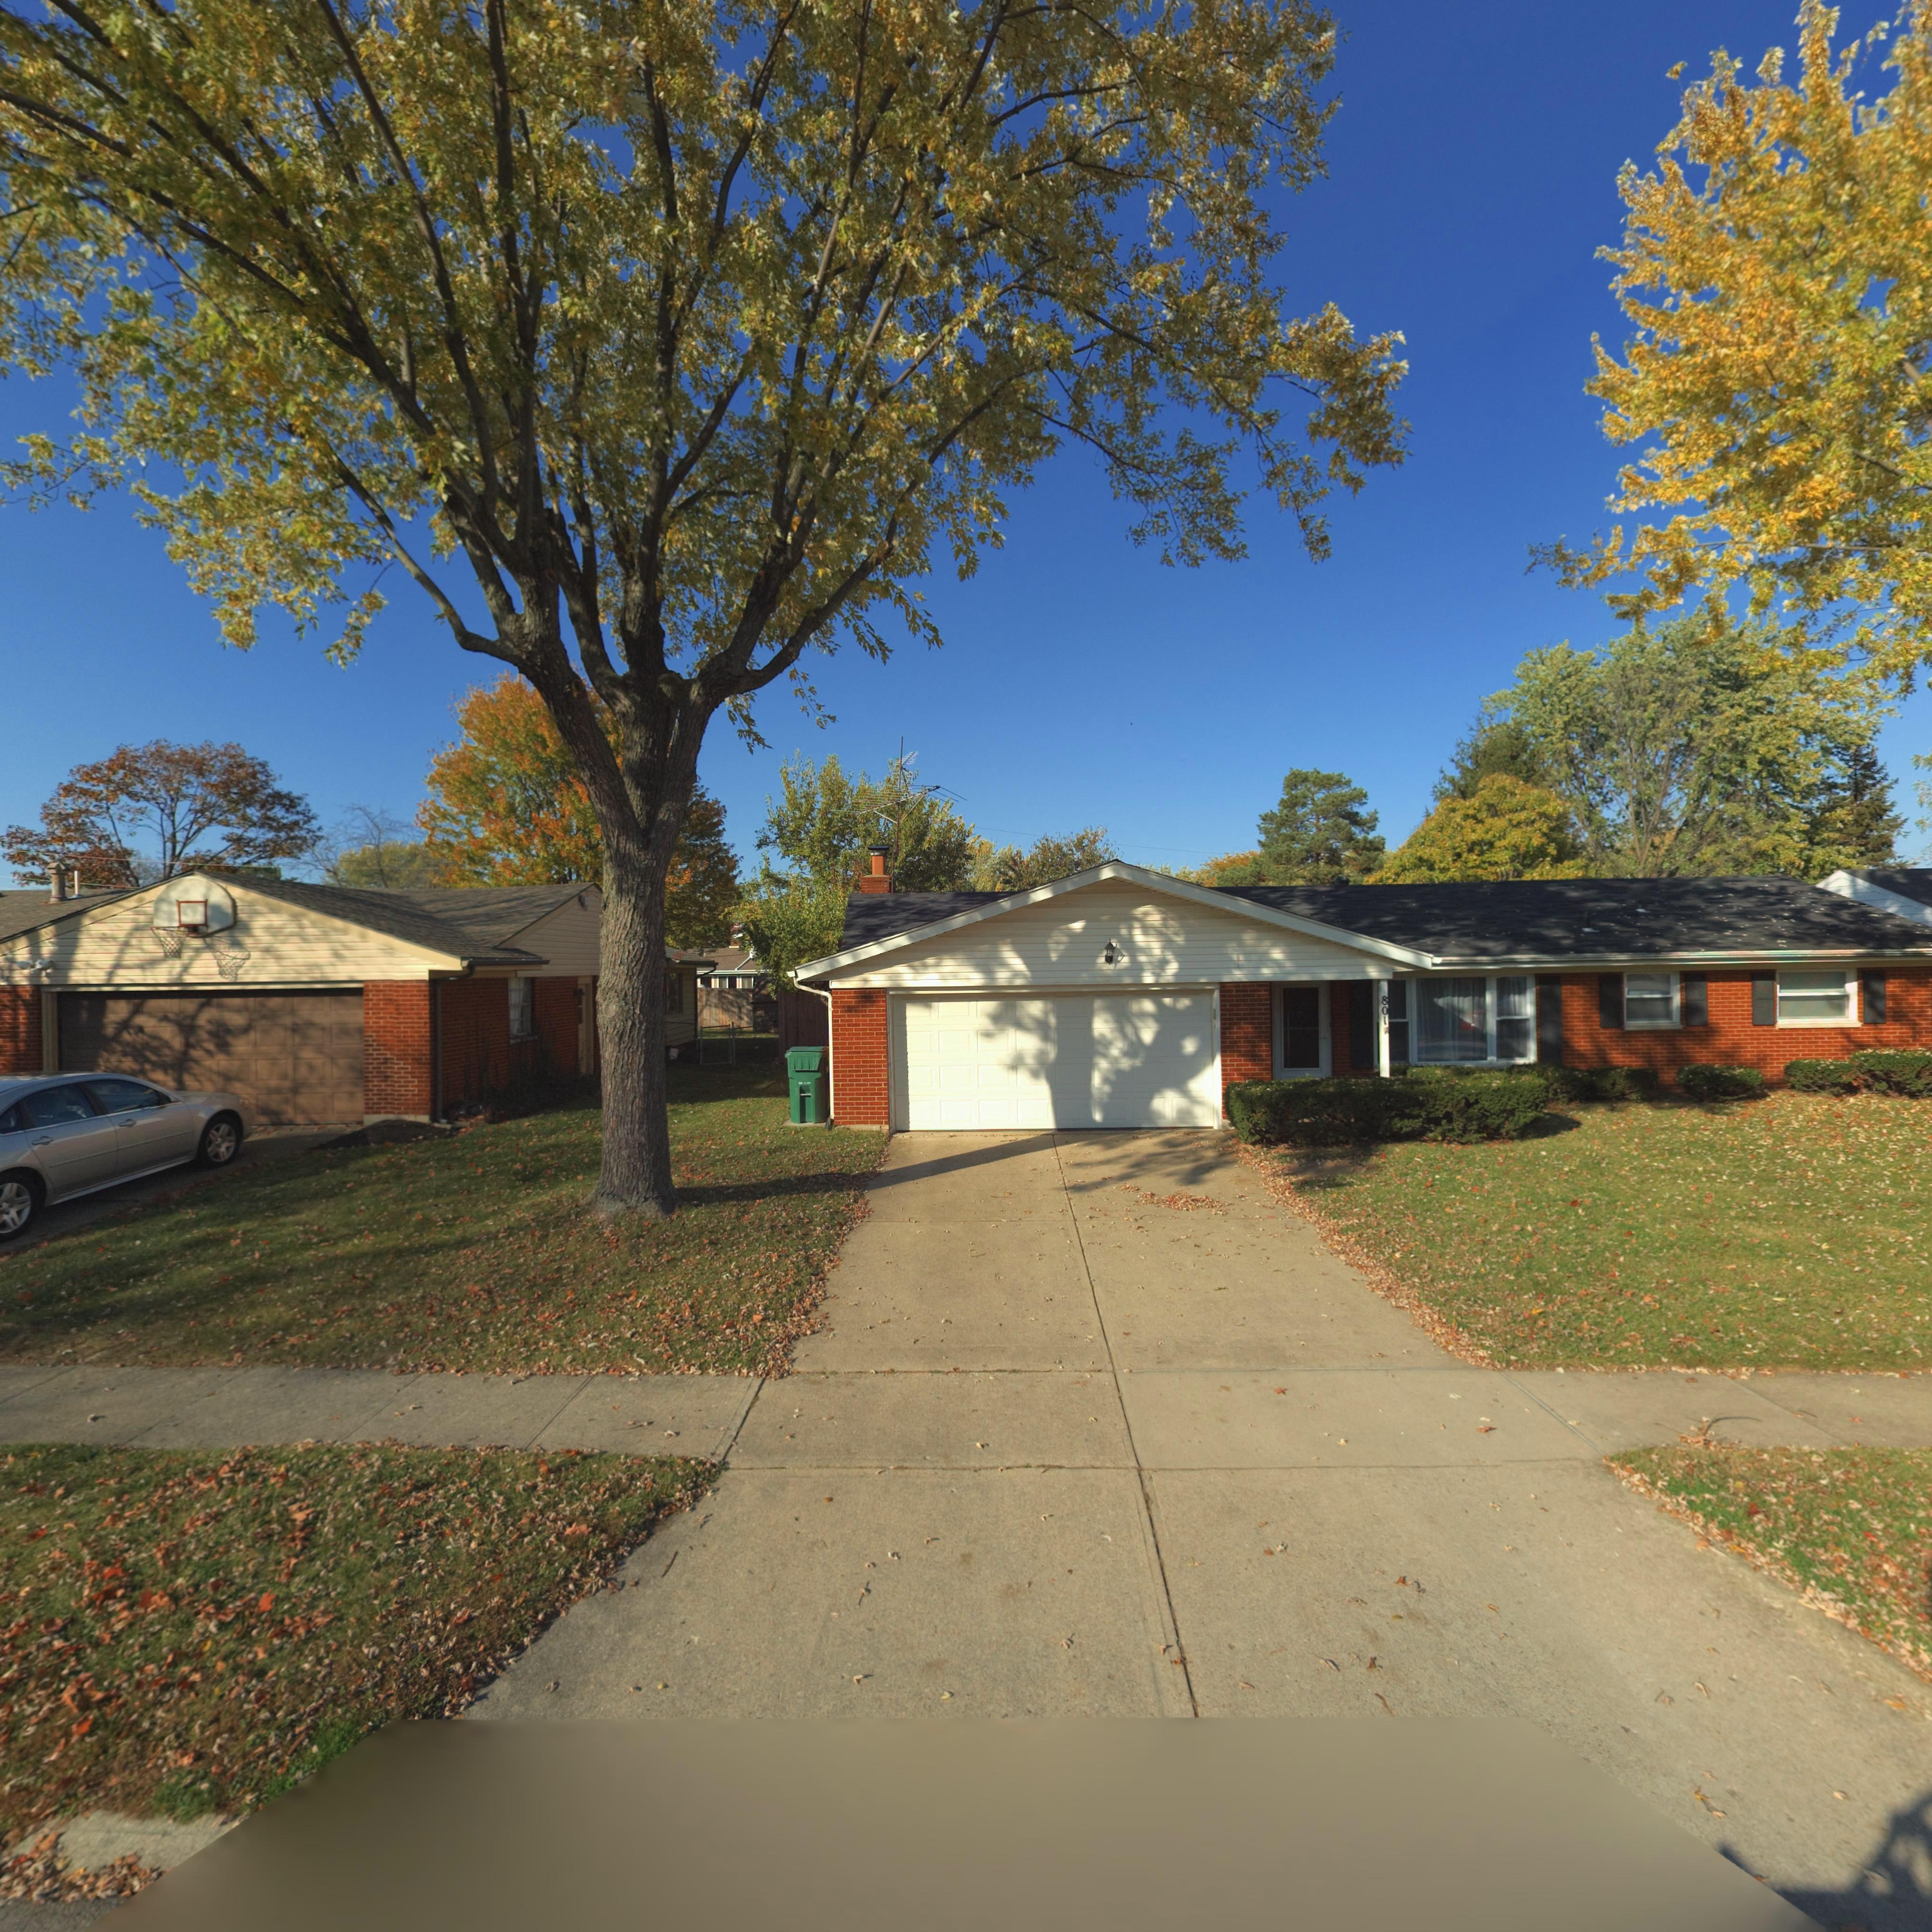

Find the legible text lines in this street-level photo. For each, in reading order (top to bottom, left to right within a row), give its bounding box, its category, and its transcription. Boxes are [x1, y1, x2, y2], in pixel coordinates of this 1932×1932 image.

[1381, 995, 1389, 1026] StreetNumber: 801